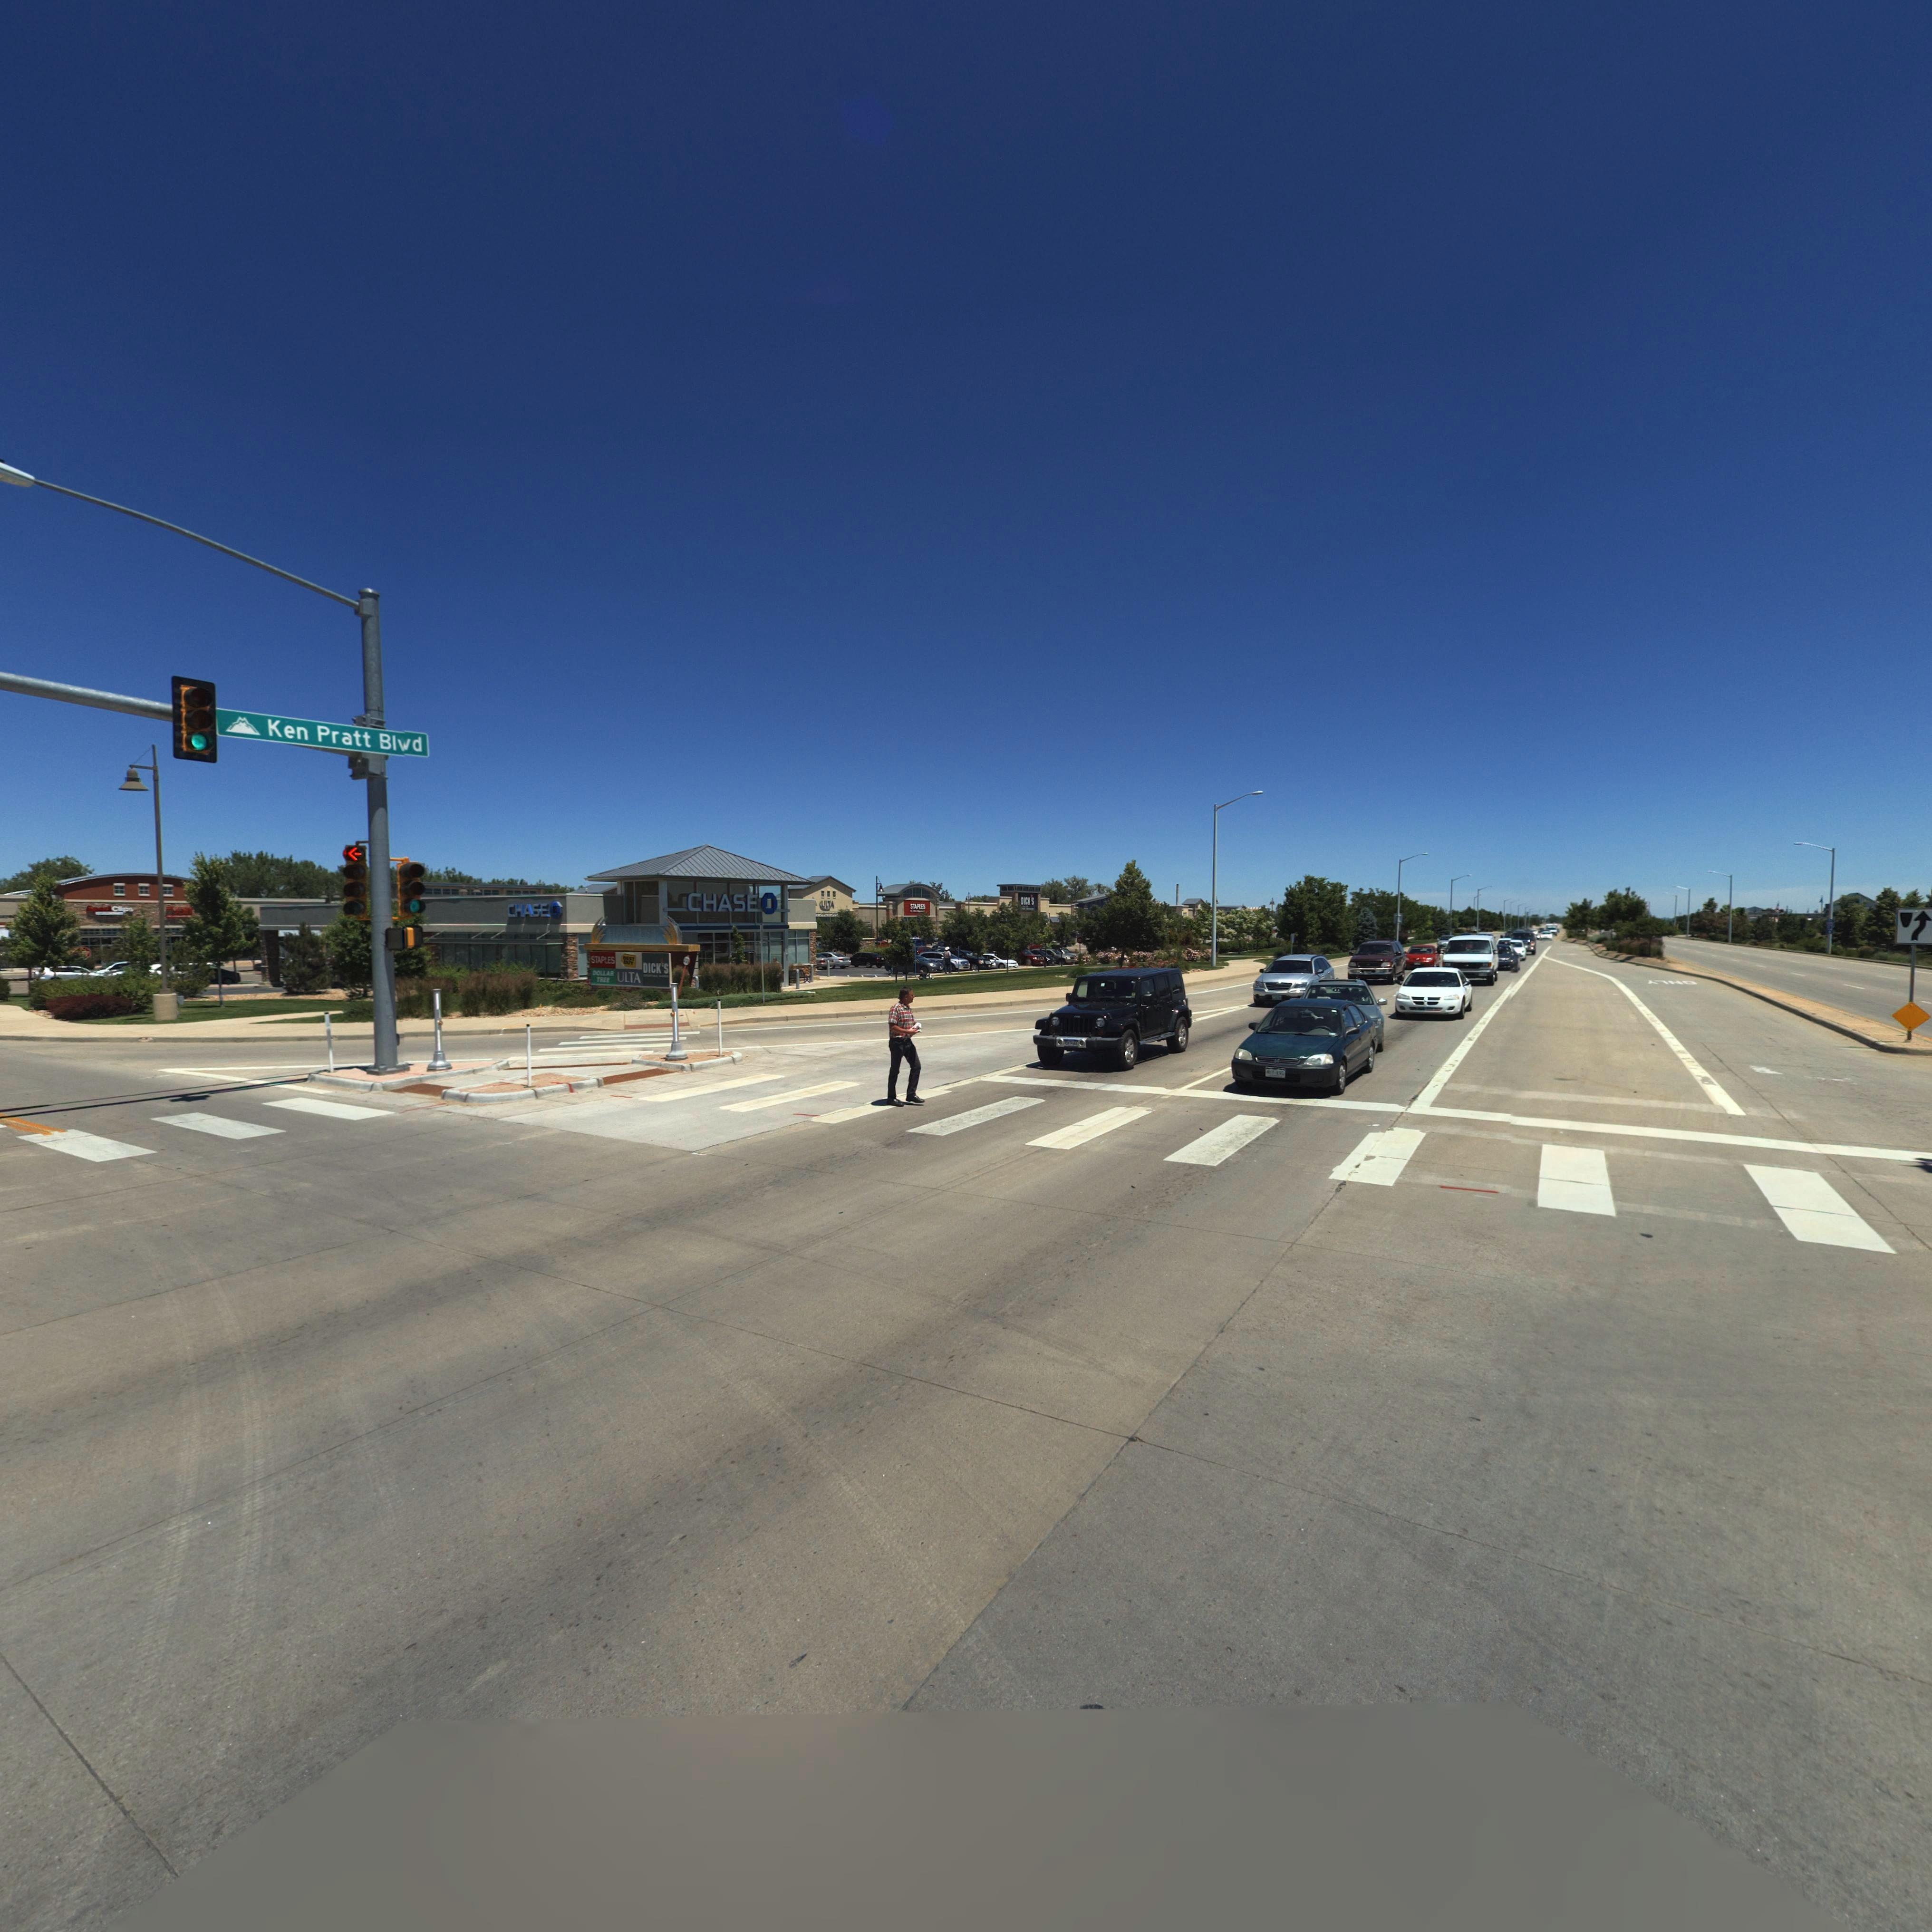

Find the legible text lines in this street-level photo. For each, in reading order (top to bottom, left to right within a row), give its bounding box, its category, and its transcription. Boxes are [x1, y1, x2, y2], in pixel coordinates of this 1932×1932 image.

[267, 717, 424, 753] StreetName: Ken Pratt Bl*d
[85, 904, 134, 913] BusinessName: Spor* Clips
[506, 903, 549, 918] BusinessName: CHASE
[686, 892, 758, 912] BusinessName: CHASE
[821, 900, 834, 908] BusinessName: ULTA
[909, 903, 926, 910] BusinessName: STAPLES
[1020, 897, 1034, 906] BusinessName: DICK*S
[608, 927, 659, 938] BusinessName: HARVEST
[590, 956, 615, 964] BusinessName: STAPLES
[623, 959, 634, 965] BusinessName: BUY
[622, 955, 635, 961] BusinessName: BEST
[642, 962, 669, 974] BusinessName: DICK*S
[592, 969, 614, 976] BusinessName: DOLLAR
[596, 976, 610, 983] BusinessName: TREE
[617, 971, 641, 984] BusinessName: ULTA
[643, 974, 669, 978] BusinessName: **O***N* *OO*S